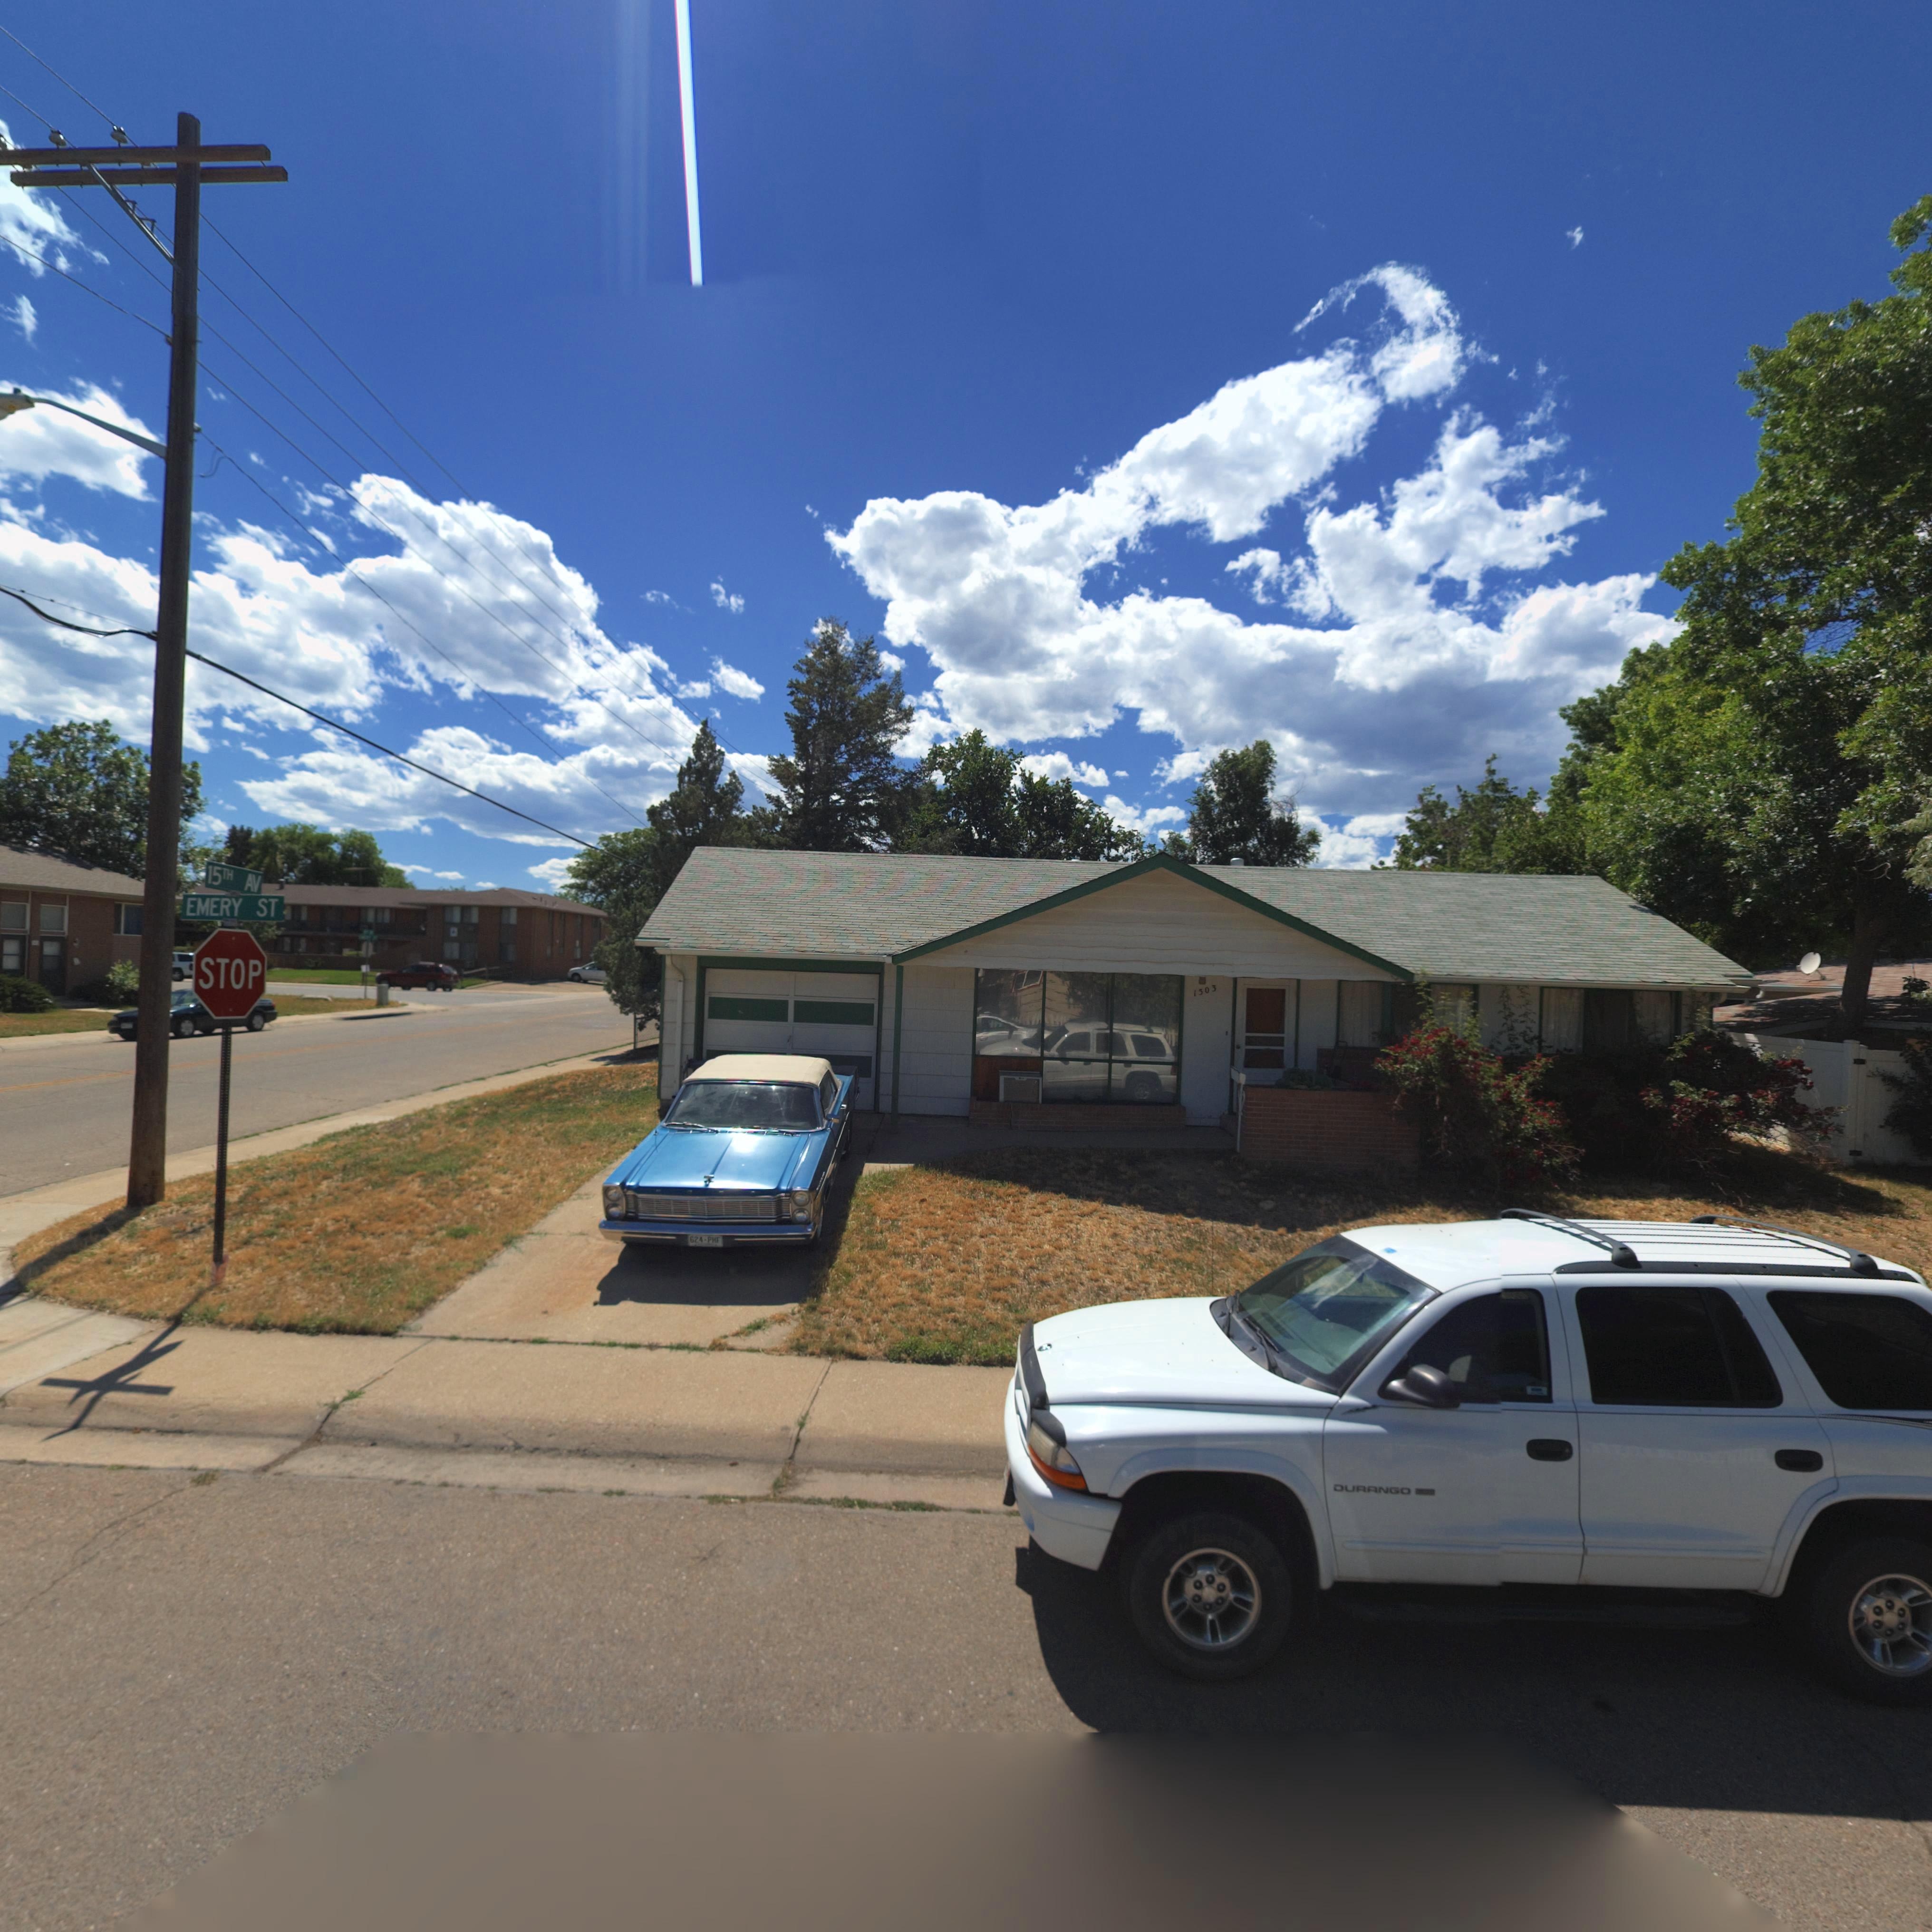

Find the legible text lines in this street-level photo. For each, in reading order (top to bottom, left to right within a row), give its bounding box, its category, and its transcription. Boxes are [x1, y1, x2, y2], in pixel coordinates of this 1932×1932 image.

[207, 864, 262, 893] StreetName: 15TH AV
[185, 897, 279, 918] StreetName: EMERY ST
[1193, 984, 1217, 997] StreetNumber: 1503